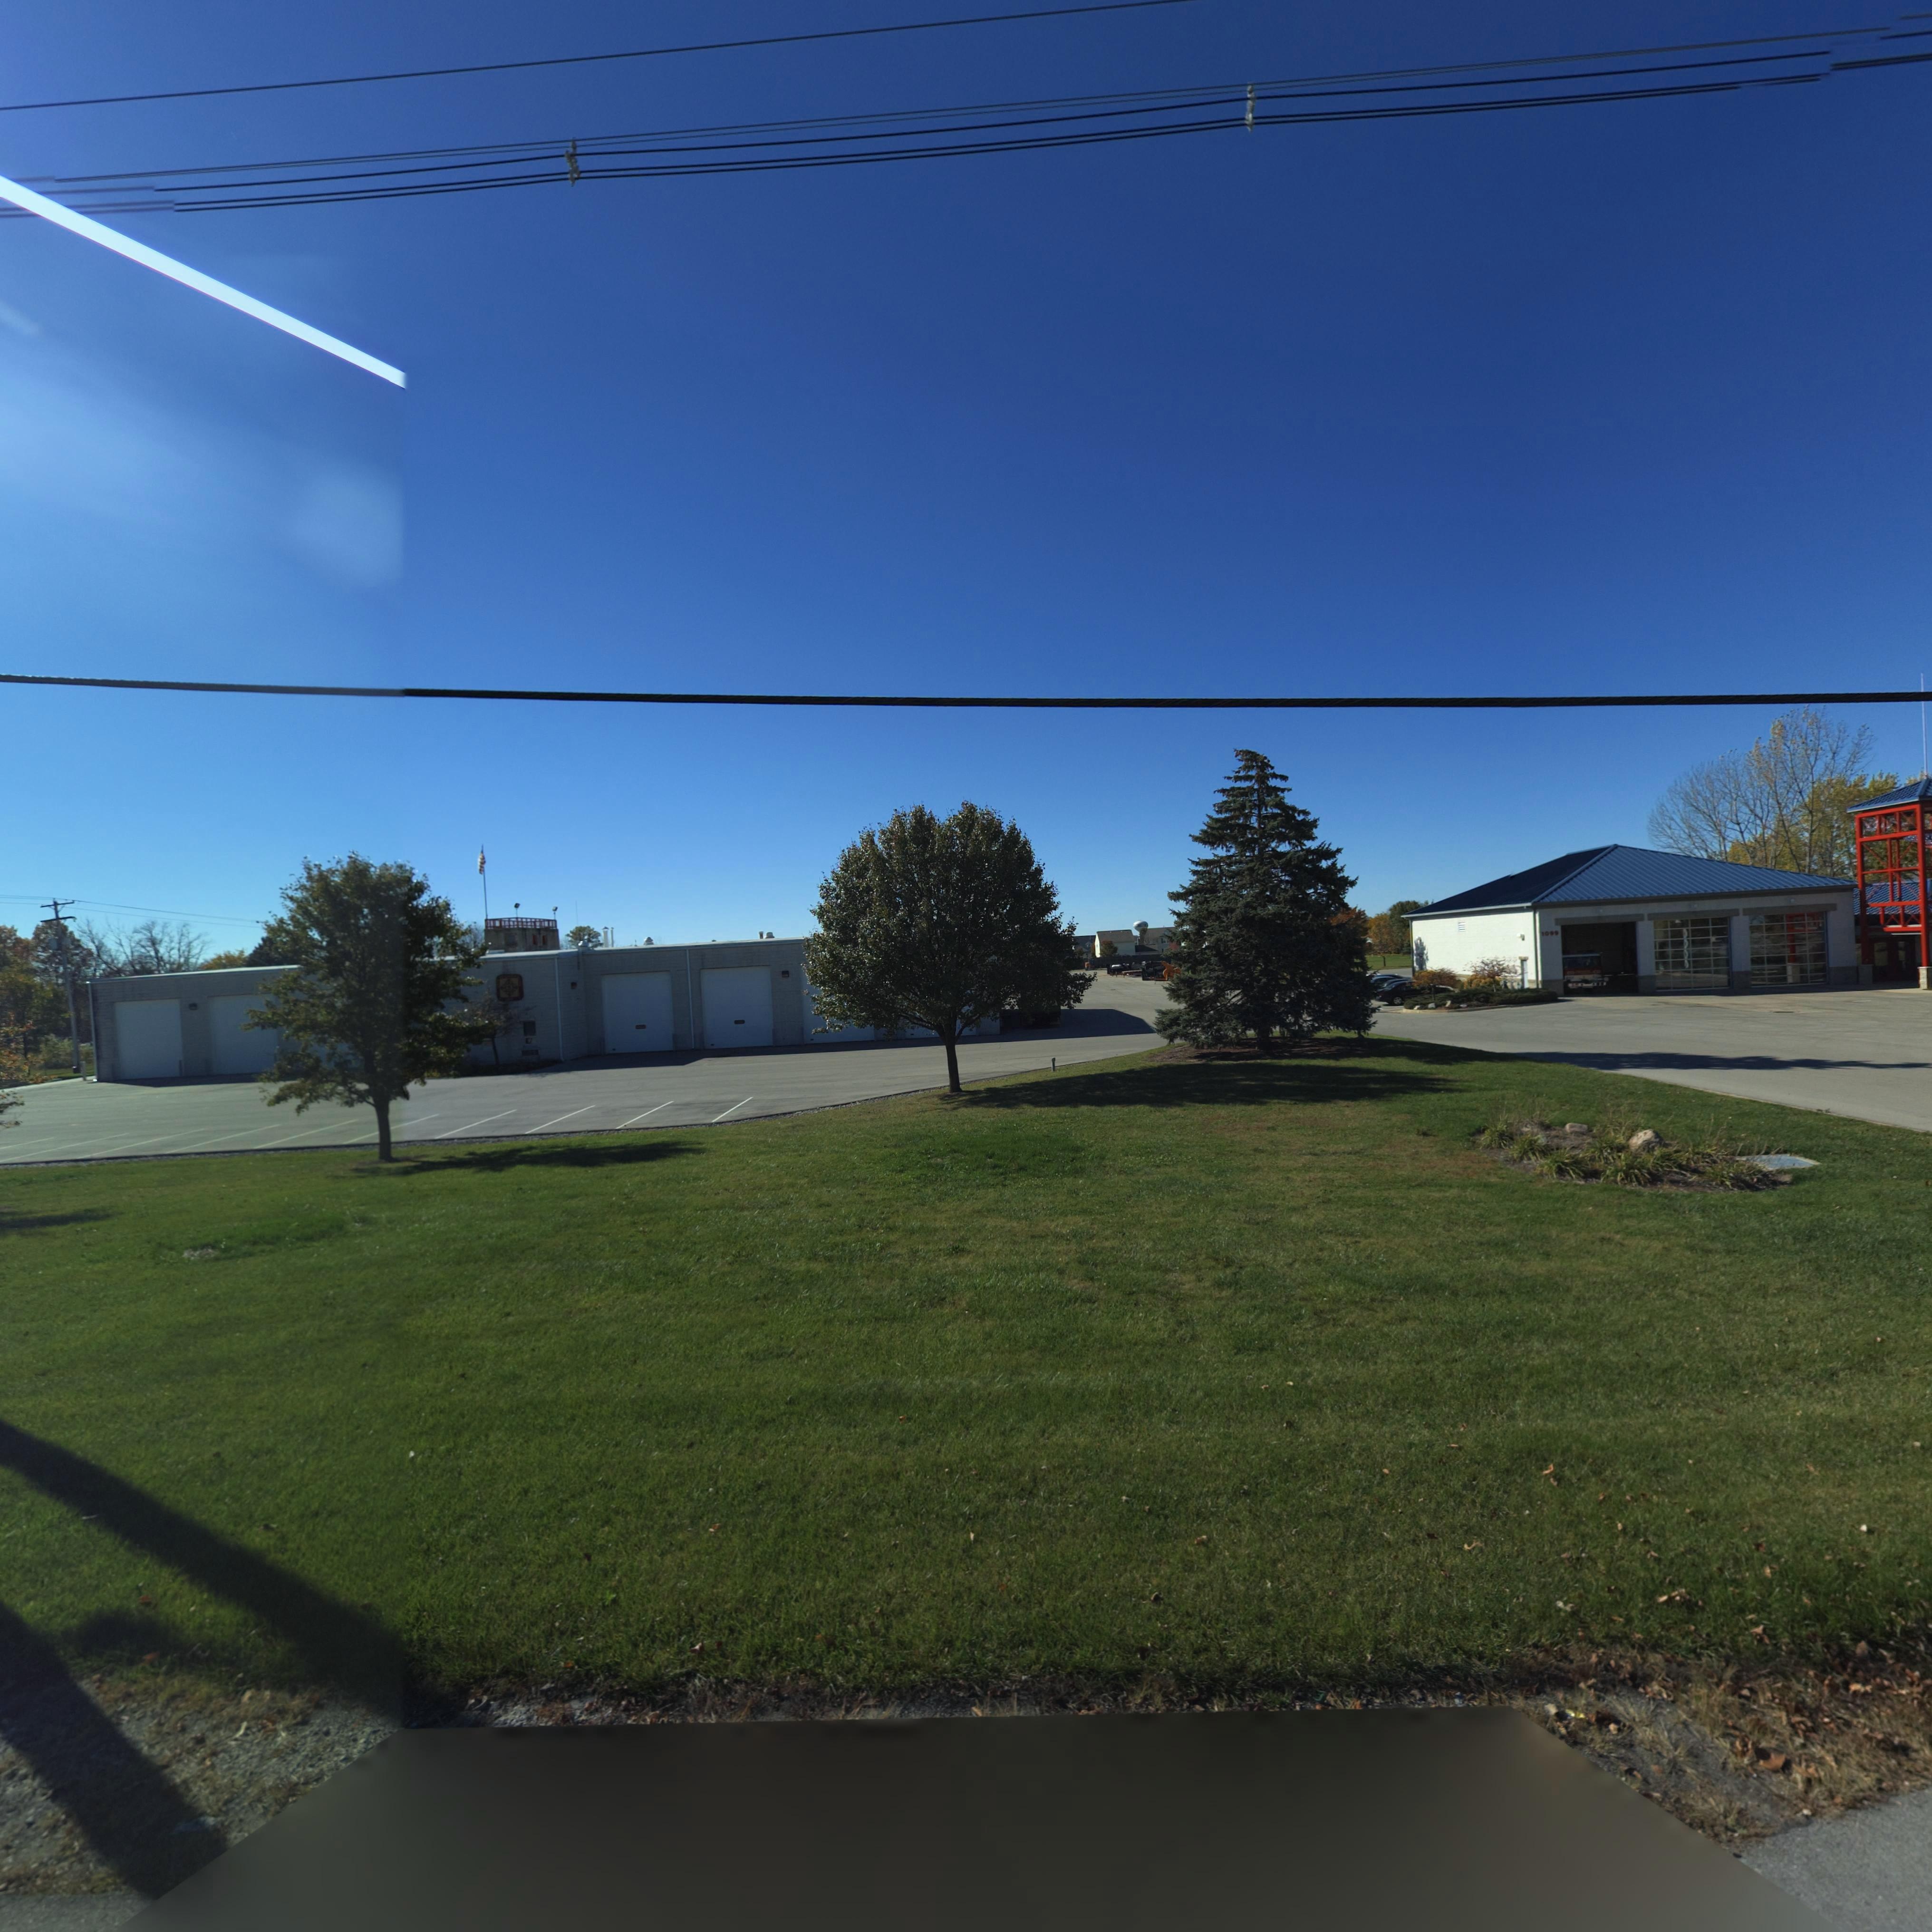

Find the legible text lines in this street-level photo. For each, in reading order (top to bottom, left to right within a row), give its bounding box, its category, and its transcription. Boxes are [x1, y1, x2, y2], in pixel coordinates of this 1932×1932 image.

[1541, 929, 1560, 937] StreetNumber: 10**